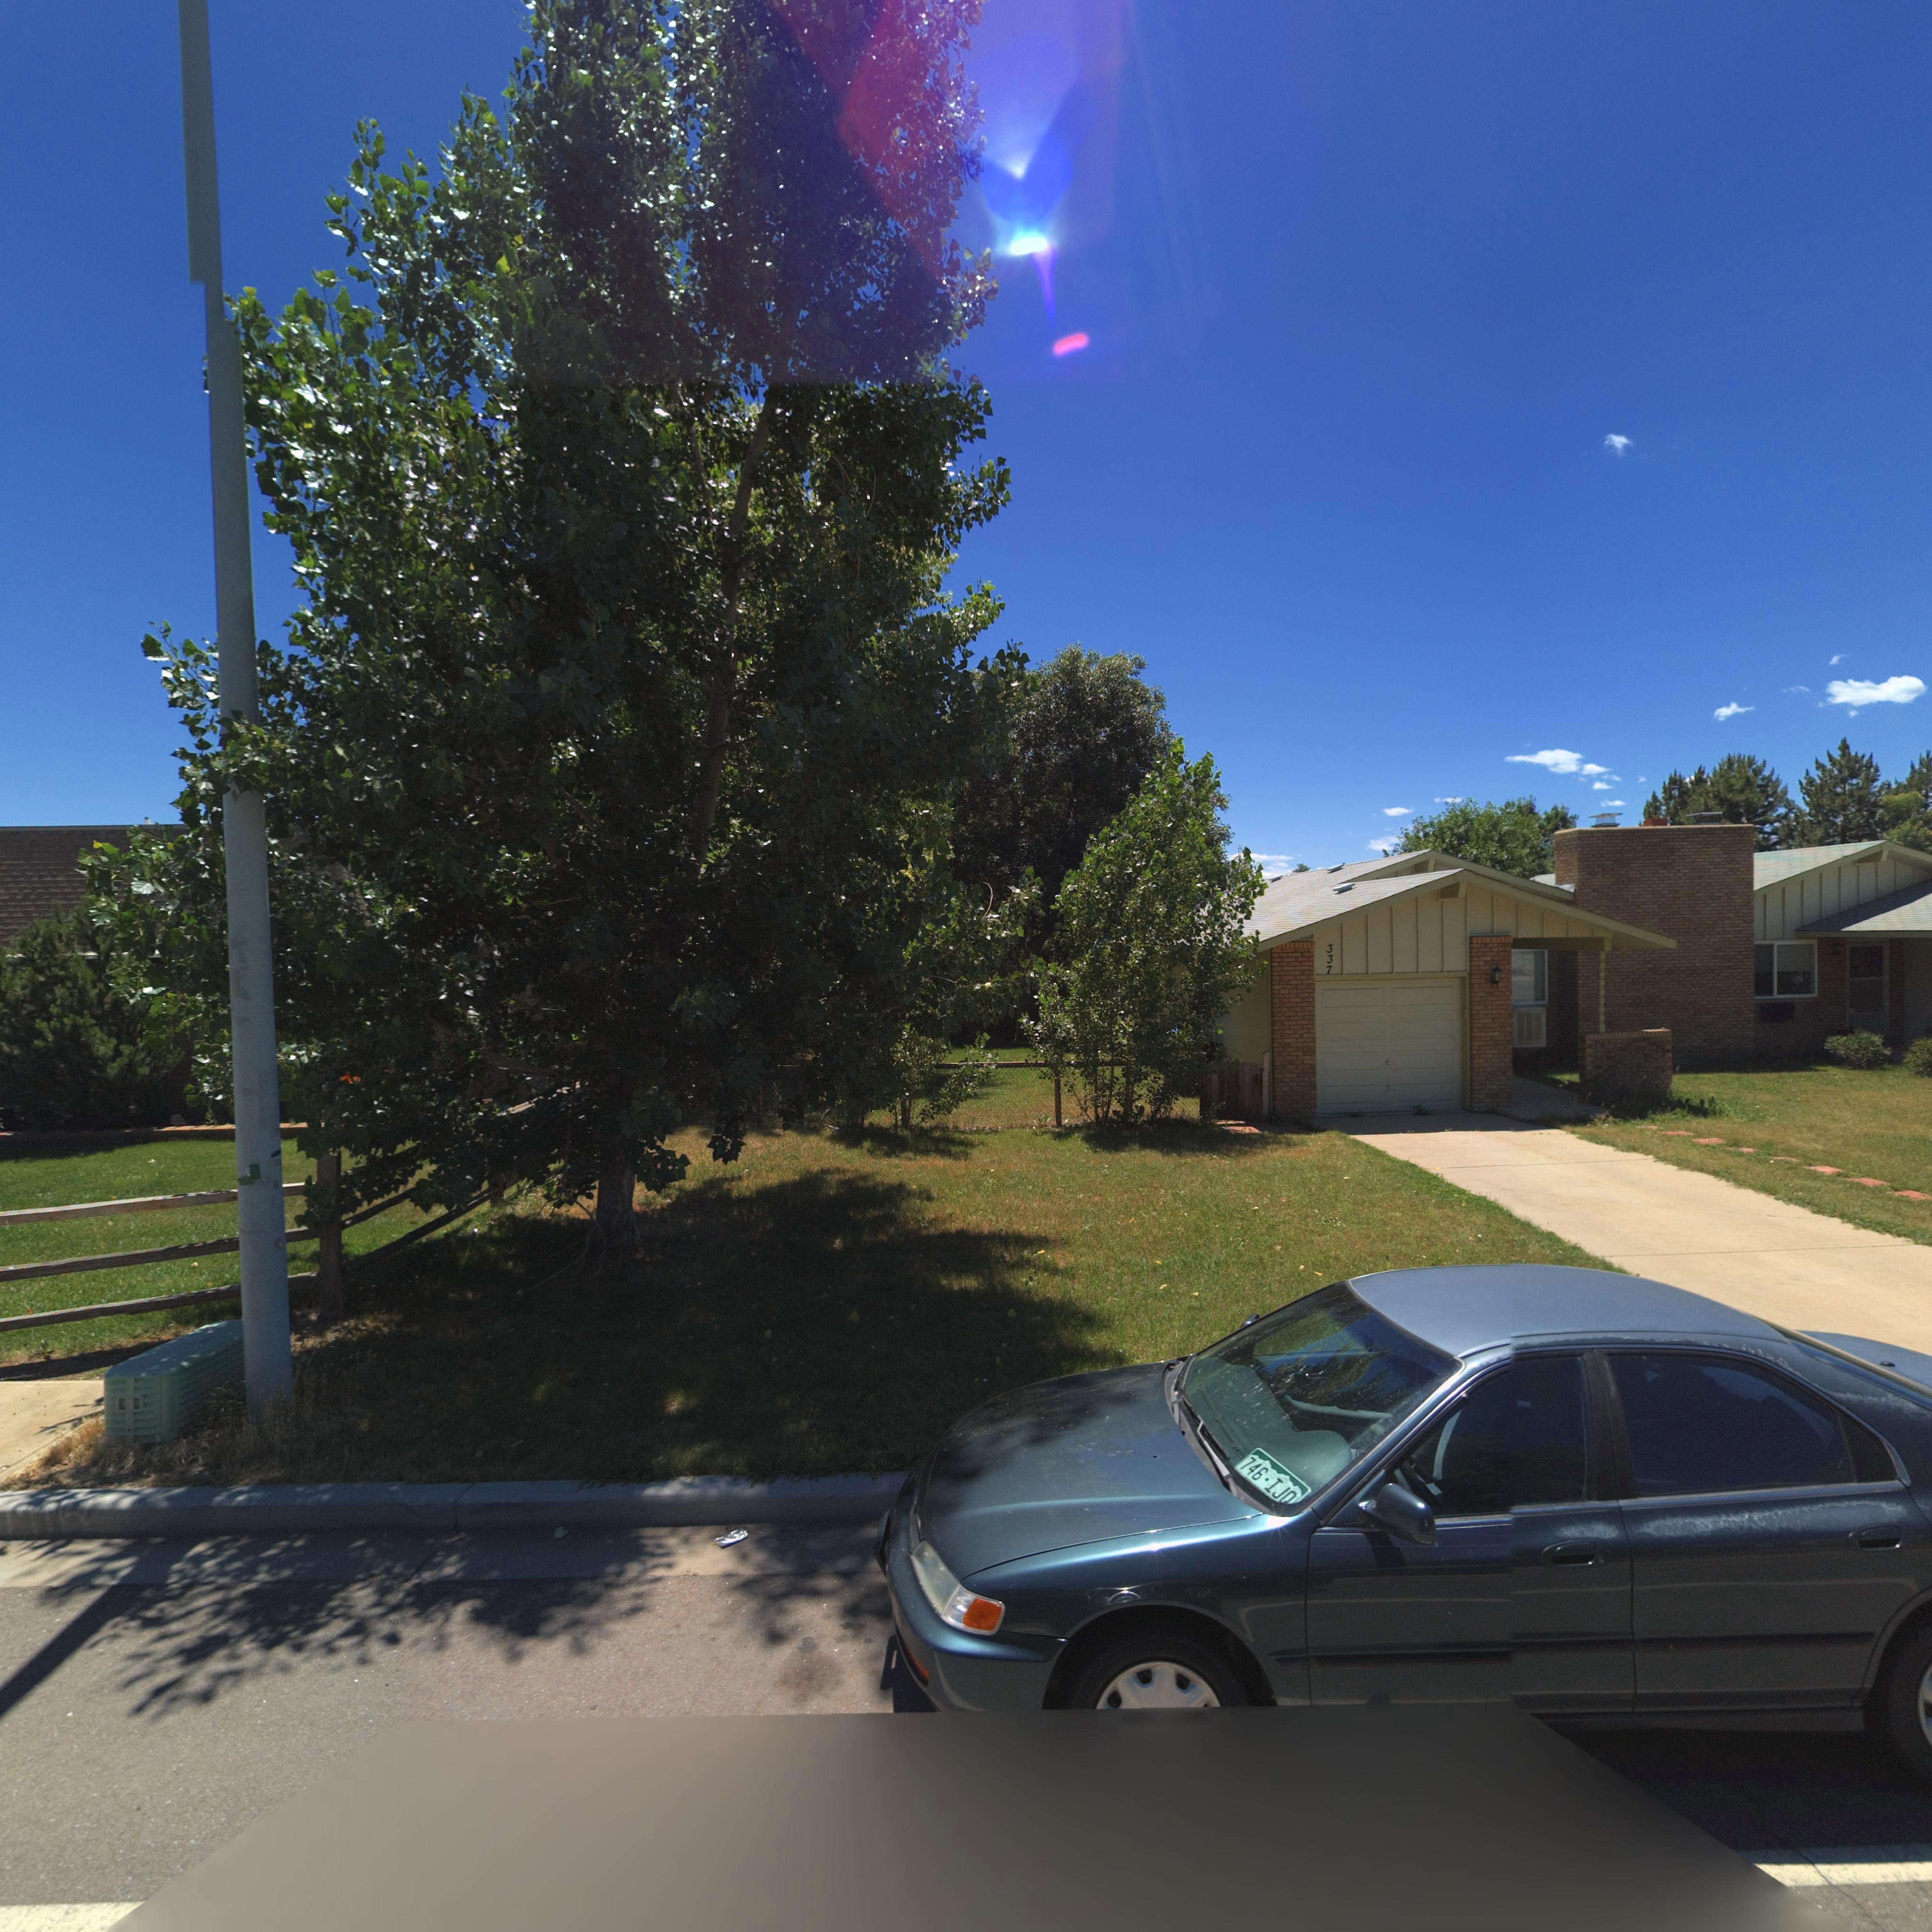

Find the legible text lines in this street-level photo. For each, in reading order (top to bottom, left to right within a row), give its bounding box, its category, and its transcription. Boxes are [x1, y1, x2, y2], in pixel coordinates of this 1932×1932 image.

[1326, 943, 1333, 974] StreetNumber: 337